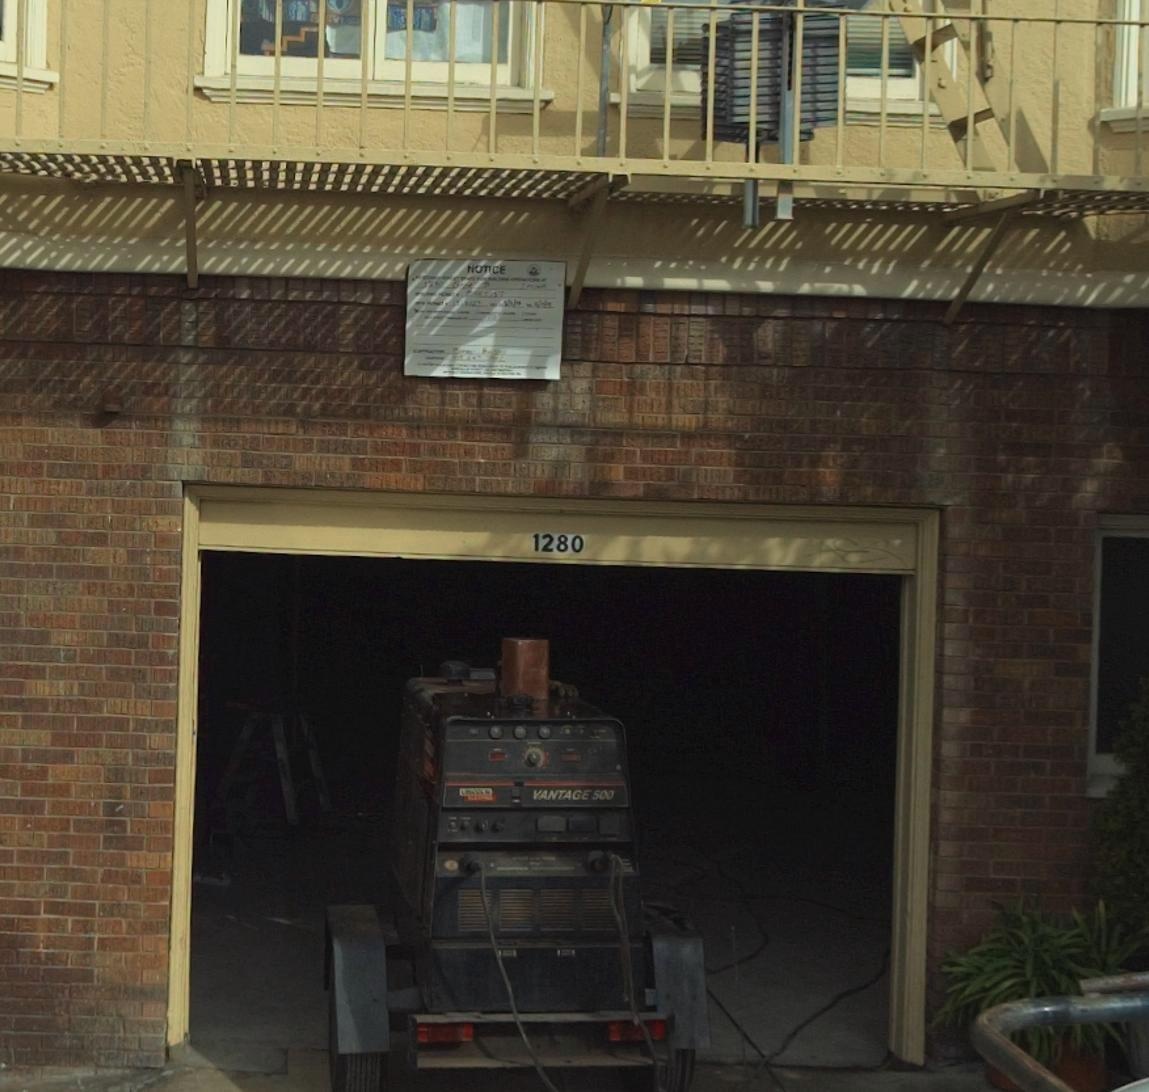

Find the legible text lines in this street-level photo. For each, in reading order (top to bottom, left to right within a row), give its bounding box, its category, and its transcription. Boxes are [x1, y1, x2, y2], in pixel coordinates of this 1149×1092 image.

[465, 263, 508, 276] None: NOTICE
[531, 531, 586, 554] StreetNumber: 1280
[529, 785, 617, 802] None: VANTAGE 500